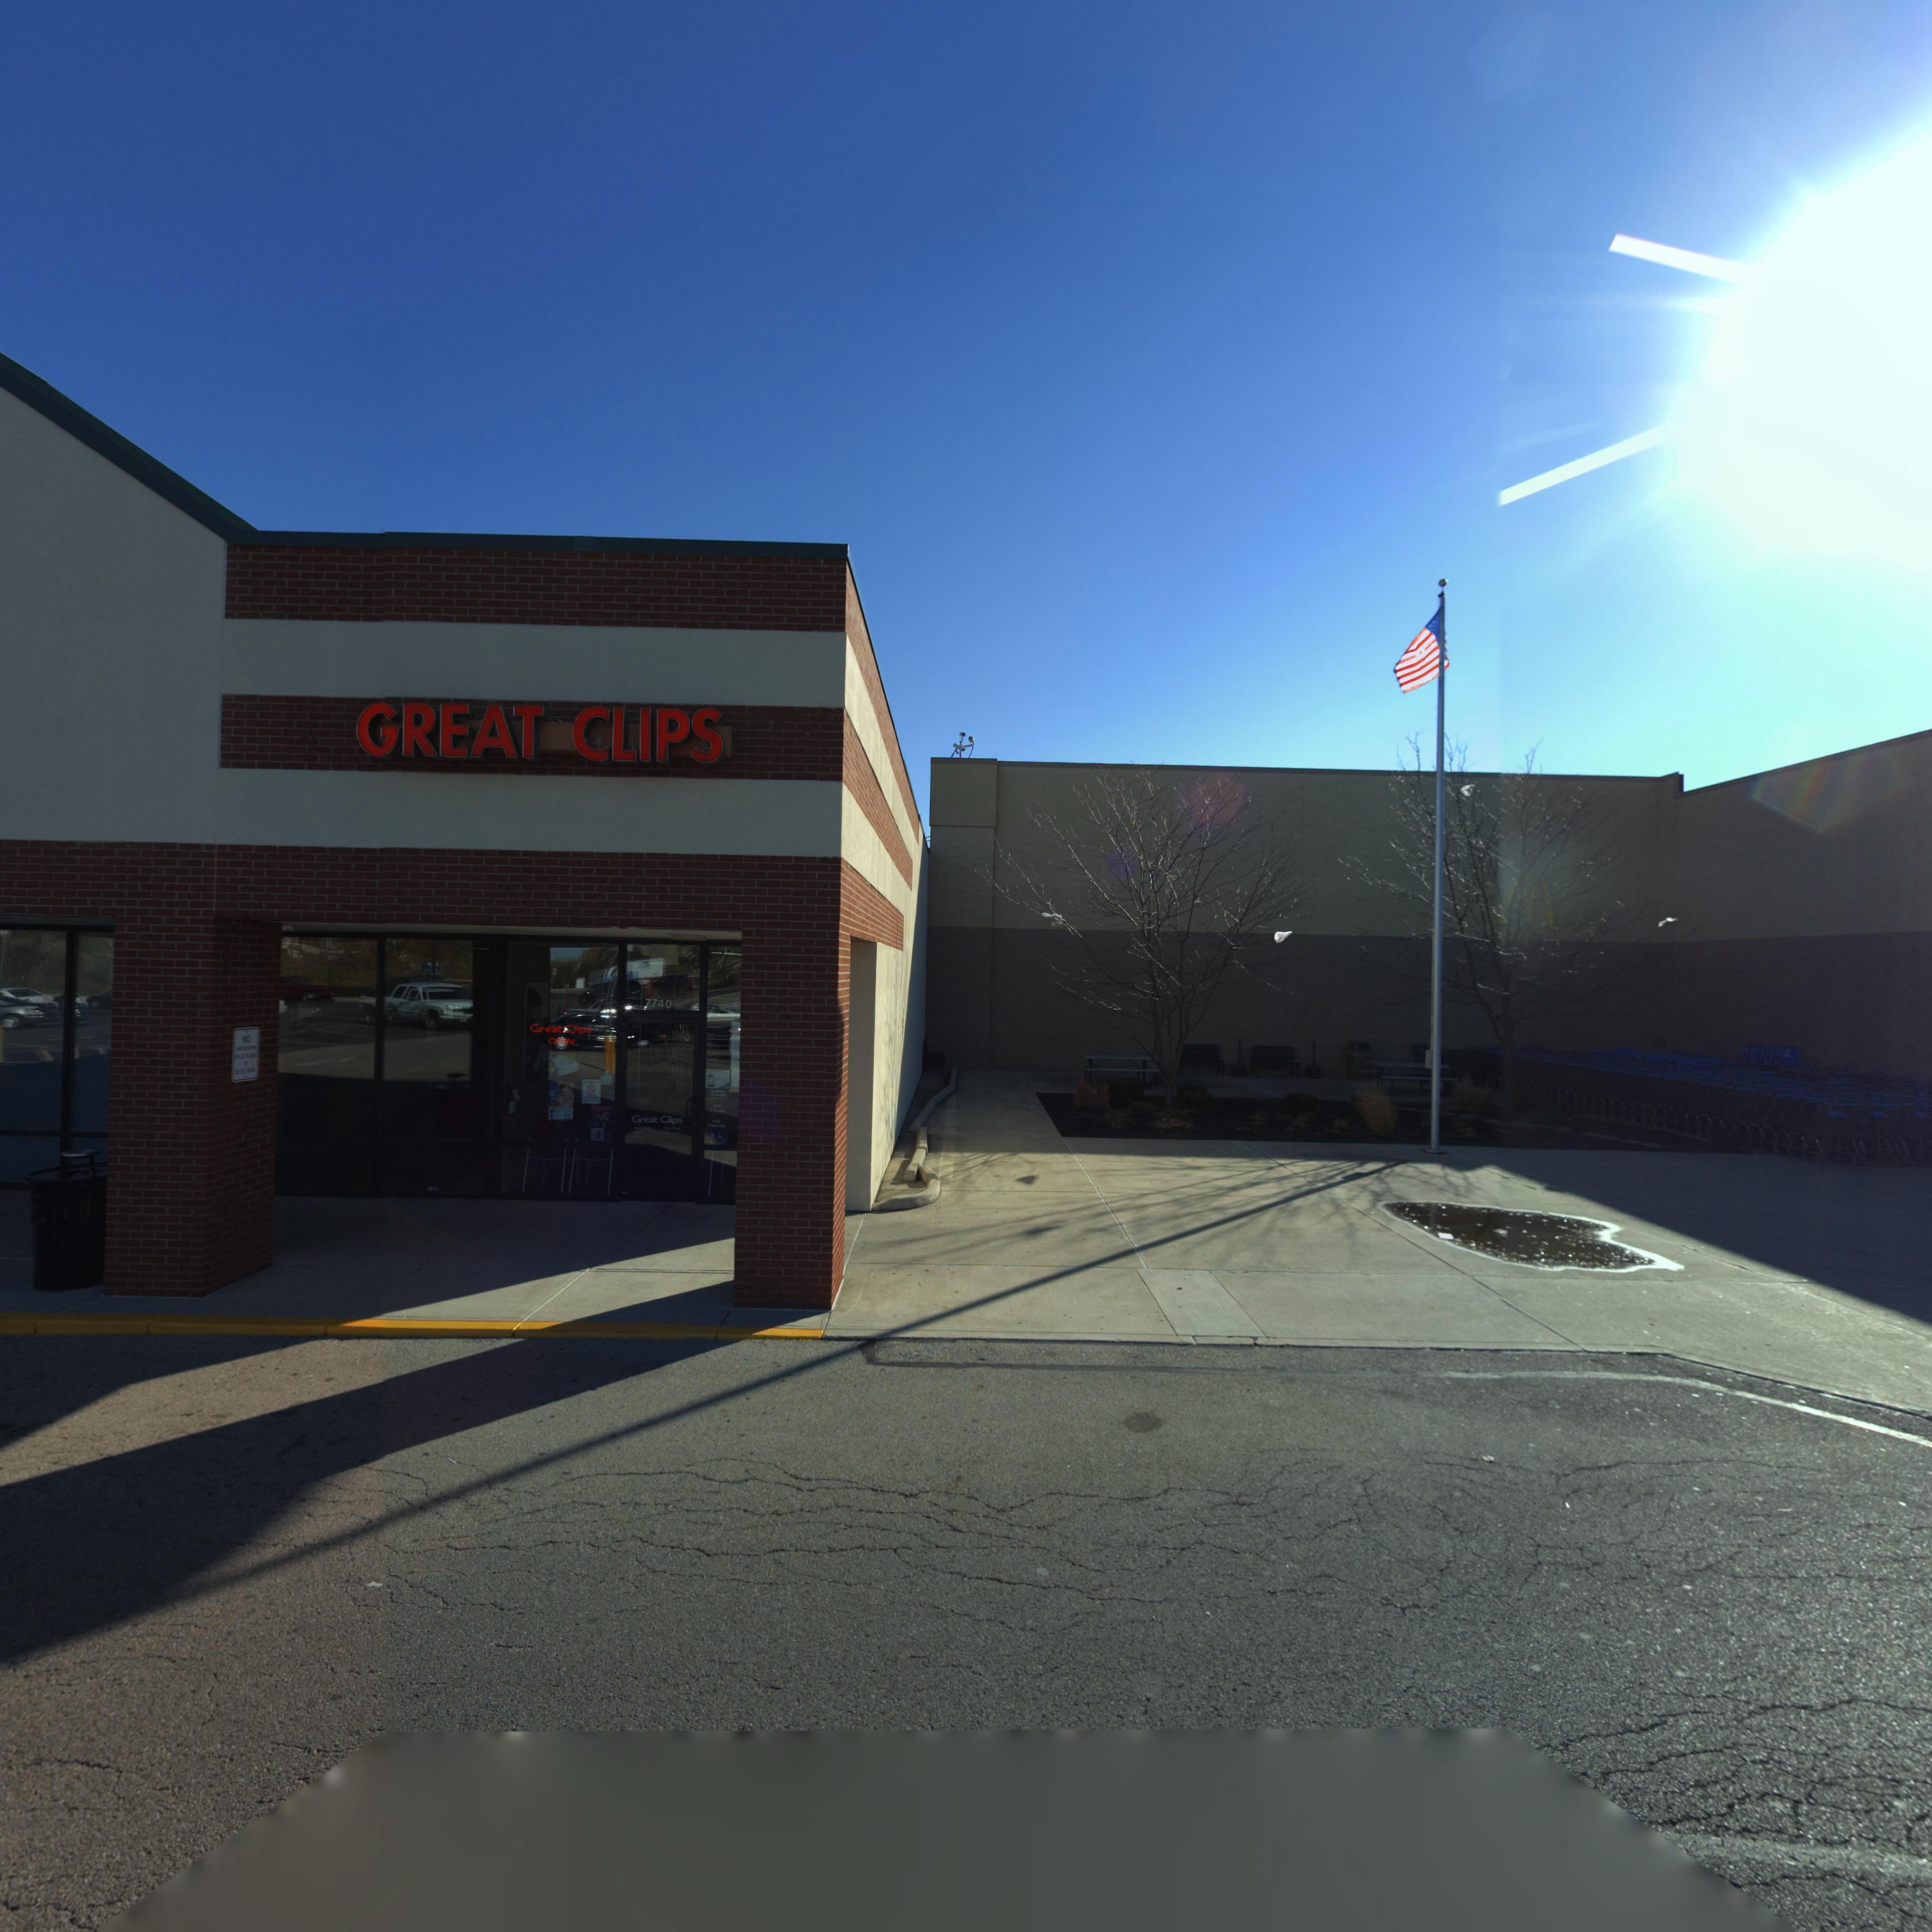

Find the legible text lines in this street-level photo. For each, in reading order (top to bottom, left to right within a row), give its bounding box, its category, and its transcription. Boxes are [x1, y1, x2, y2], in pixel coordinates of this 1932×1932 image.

[353, 699, 725, 765] BusinessName: GREAT CLIPS
[644, 997, 673, 1009] StreetNumber: 7740
[529, 1023, 594, 1037] BusinessName: Great Clips
[630, 1114, 684, 1126] BusinessName: Great Clips